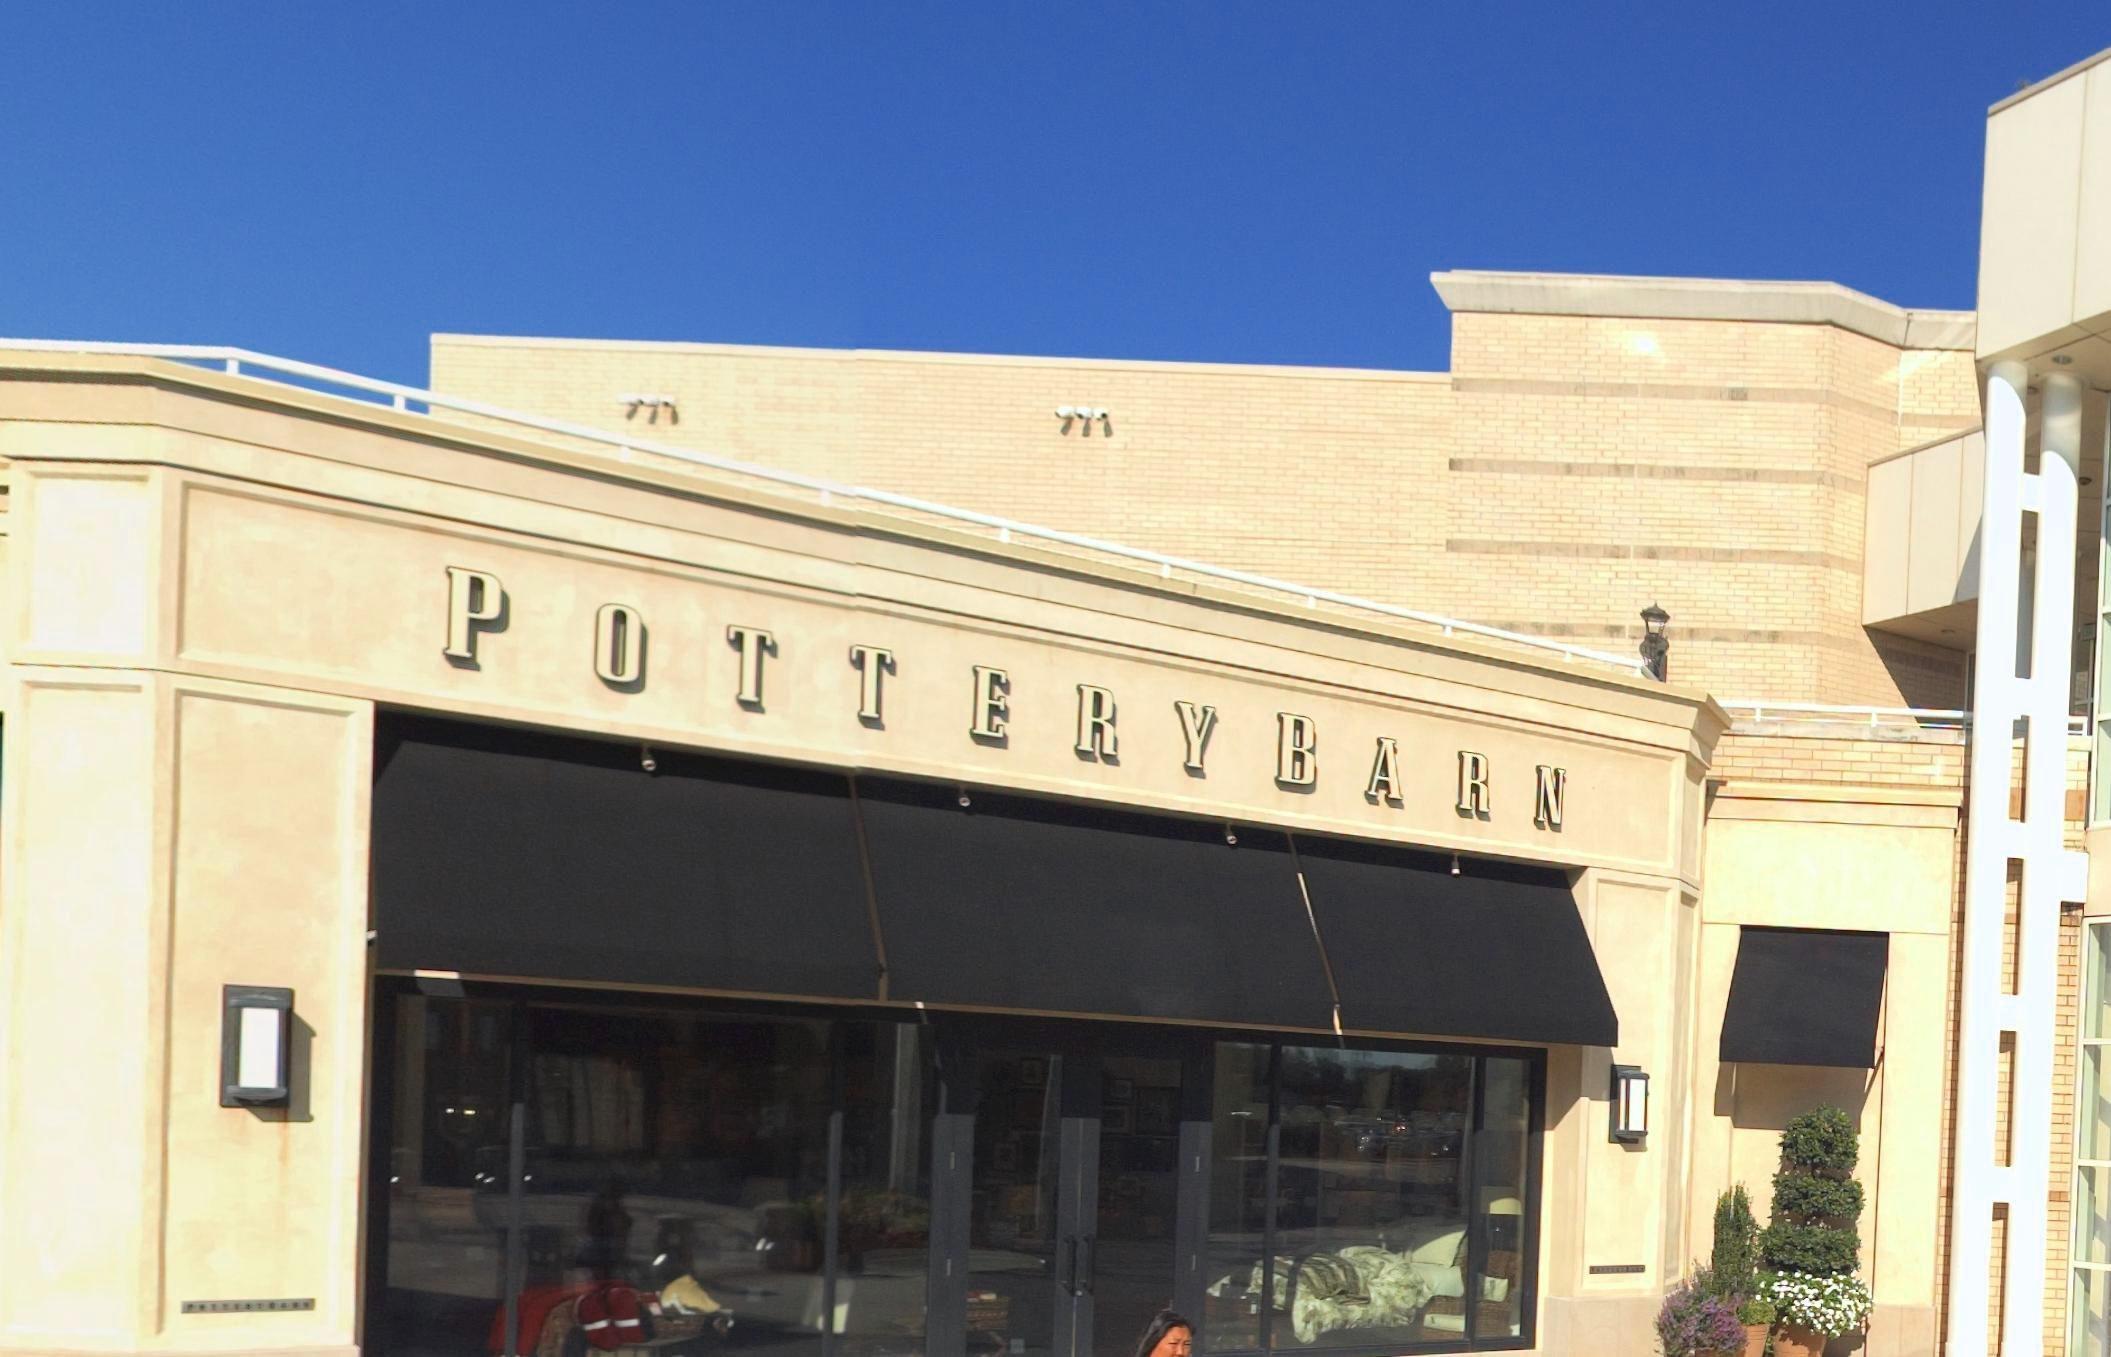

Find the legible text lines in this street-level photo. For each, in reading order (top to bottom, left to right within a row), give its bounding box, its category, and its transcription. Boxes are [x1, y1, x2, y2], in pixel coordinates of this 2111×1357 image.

[438, 560, 1569, 830] BusinessName: POTTERY BARN